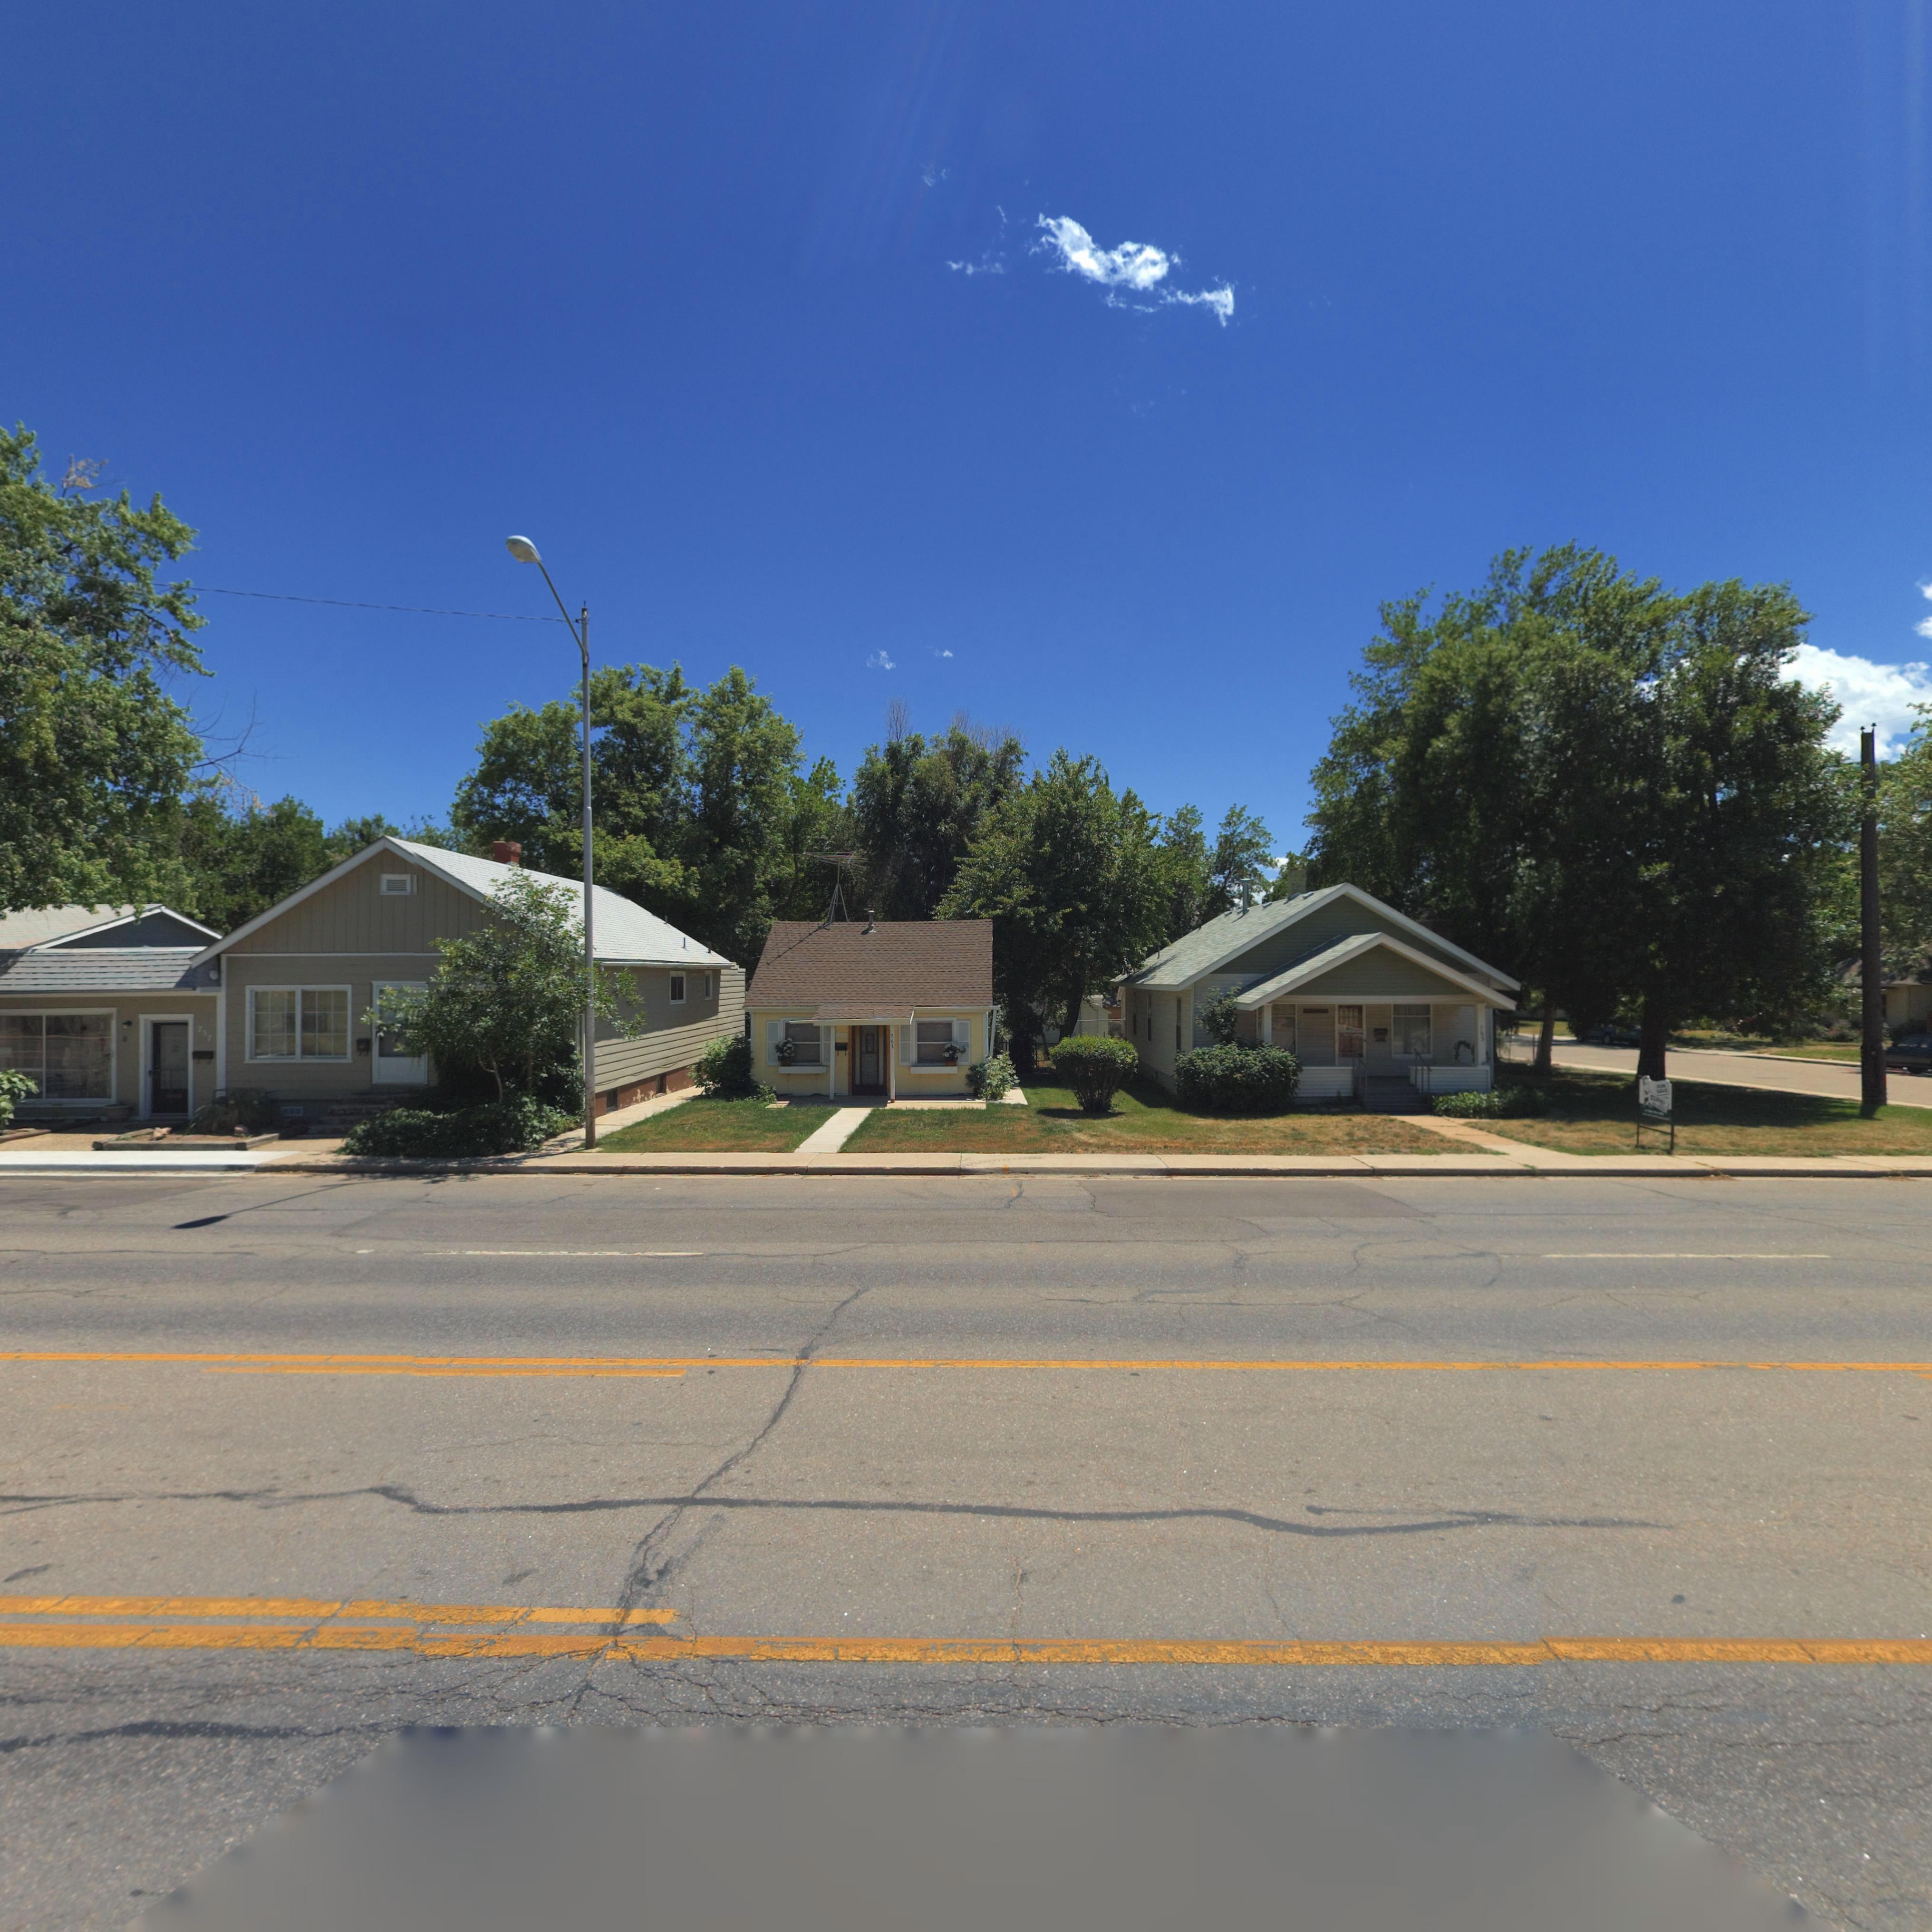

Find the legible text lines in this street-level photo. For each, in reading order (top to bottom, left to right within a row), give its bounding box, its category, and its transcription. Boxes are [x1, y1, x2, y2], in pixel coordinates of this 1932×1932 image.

[197, 1024, 212, 1042] StreetNumber: 7*7
[890, 1034, 894, 1049] StreetNumber: 761